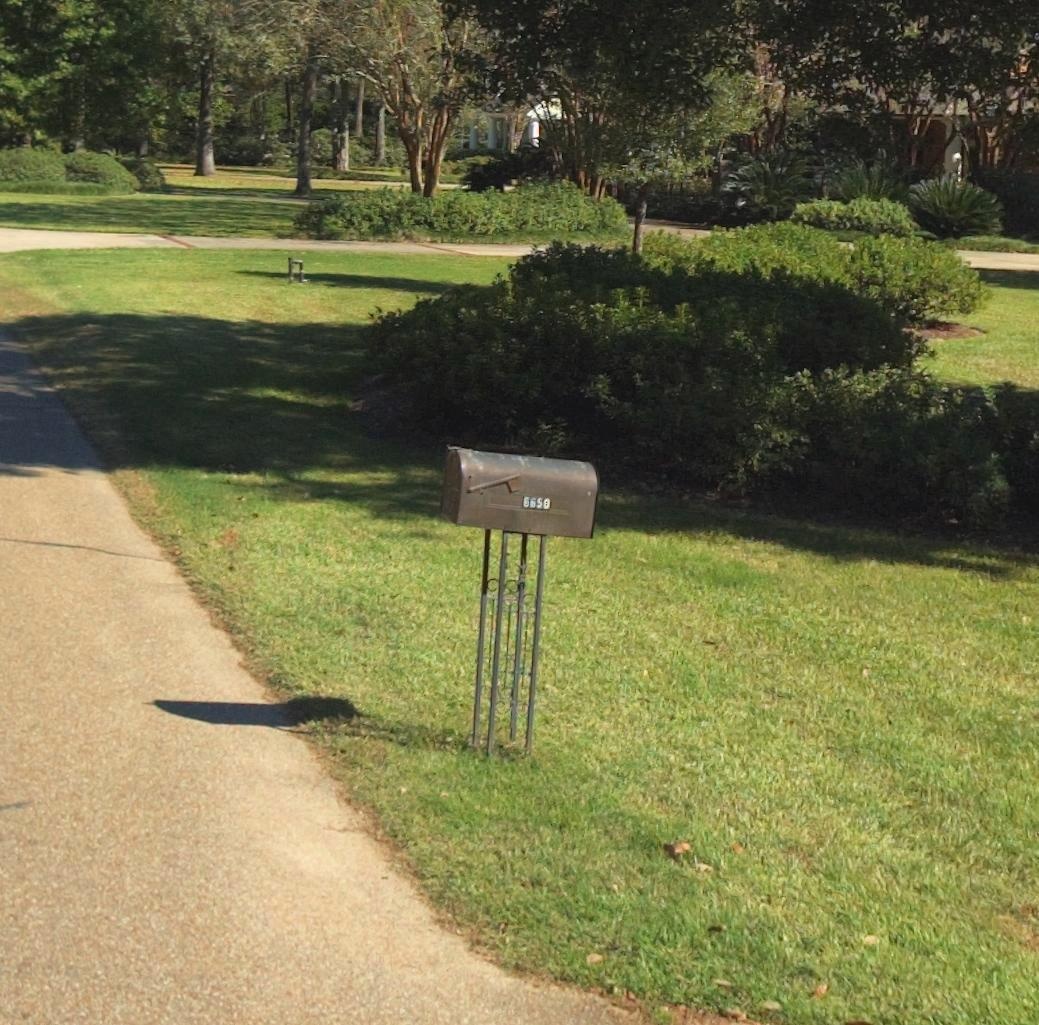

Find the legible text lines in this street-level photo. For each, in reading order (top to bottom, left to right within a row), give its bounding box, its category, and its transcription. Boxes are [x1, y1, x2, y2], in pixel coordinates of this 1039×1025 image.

[519, 494, 554, 512] StreetNumber: 6*50